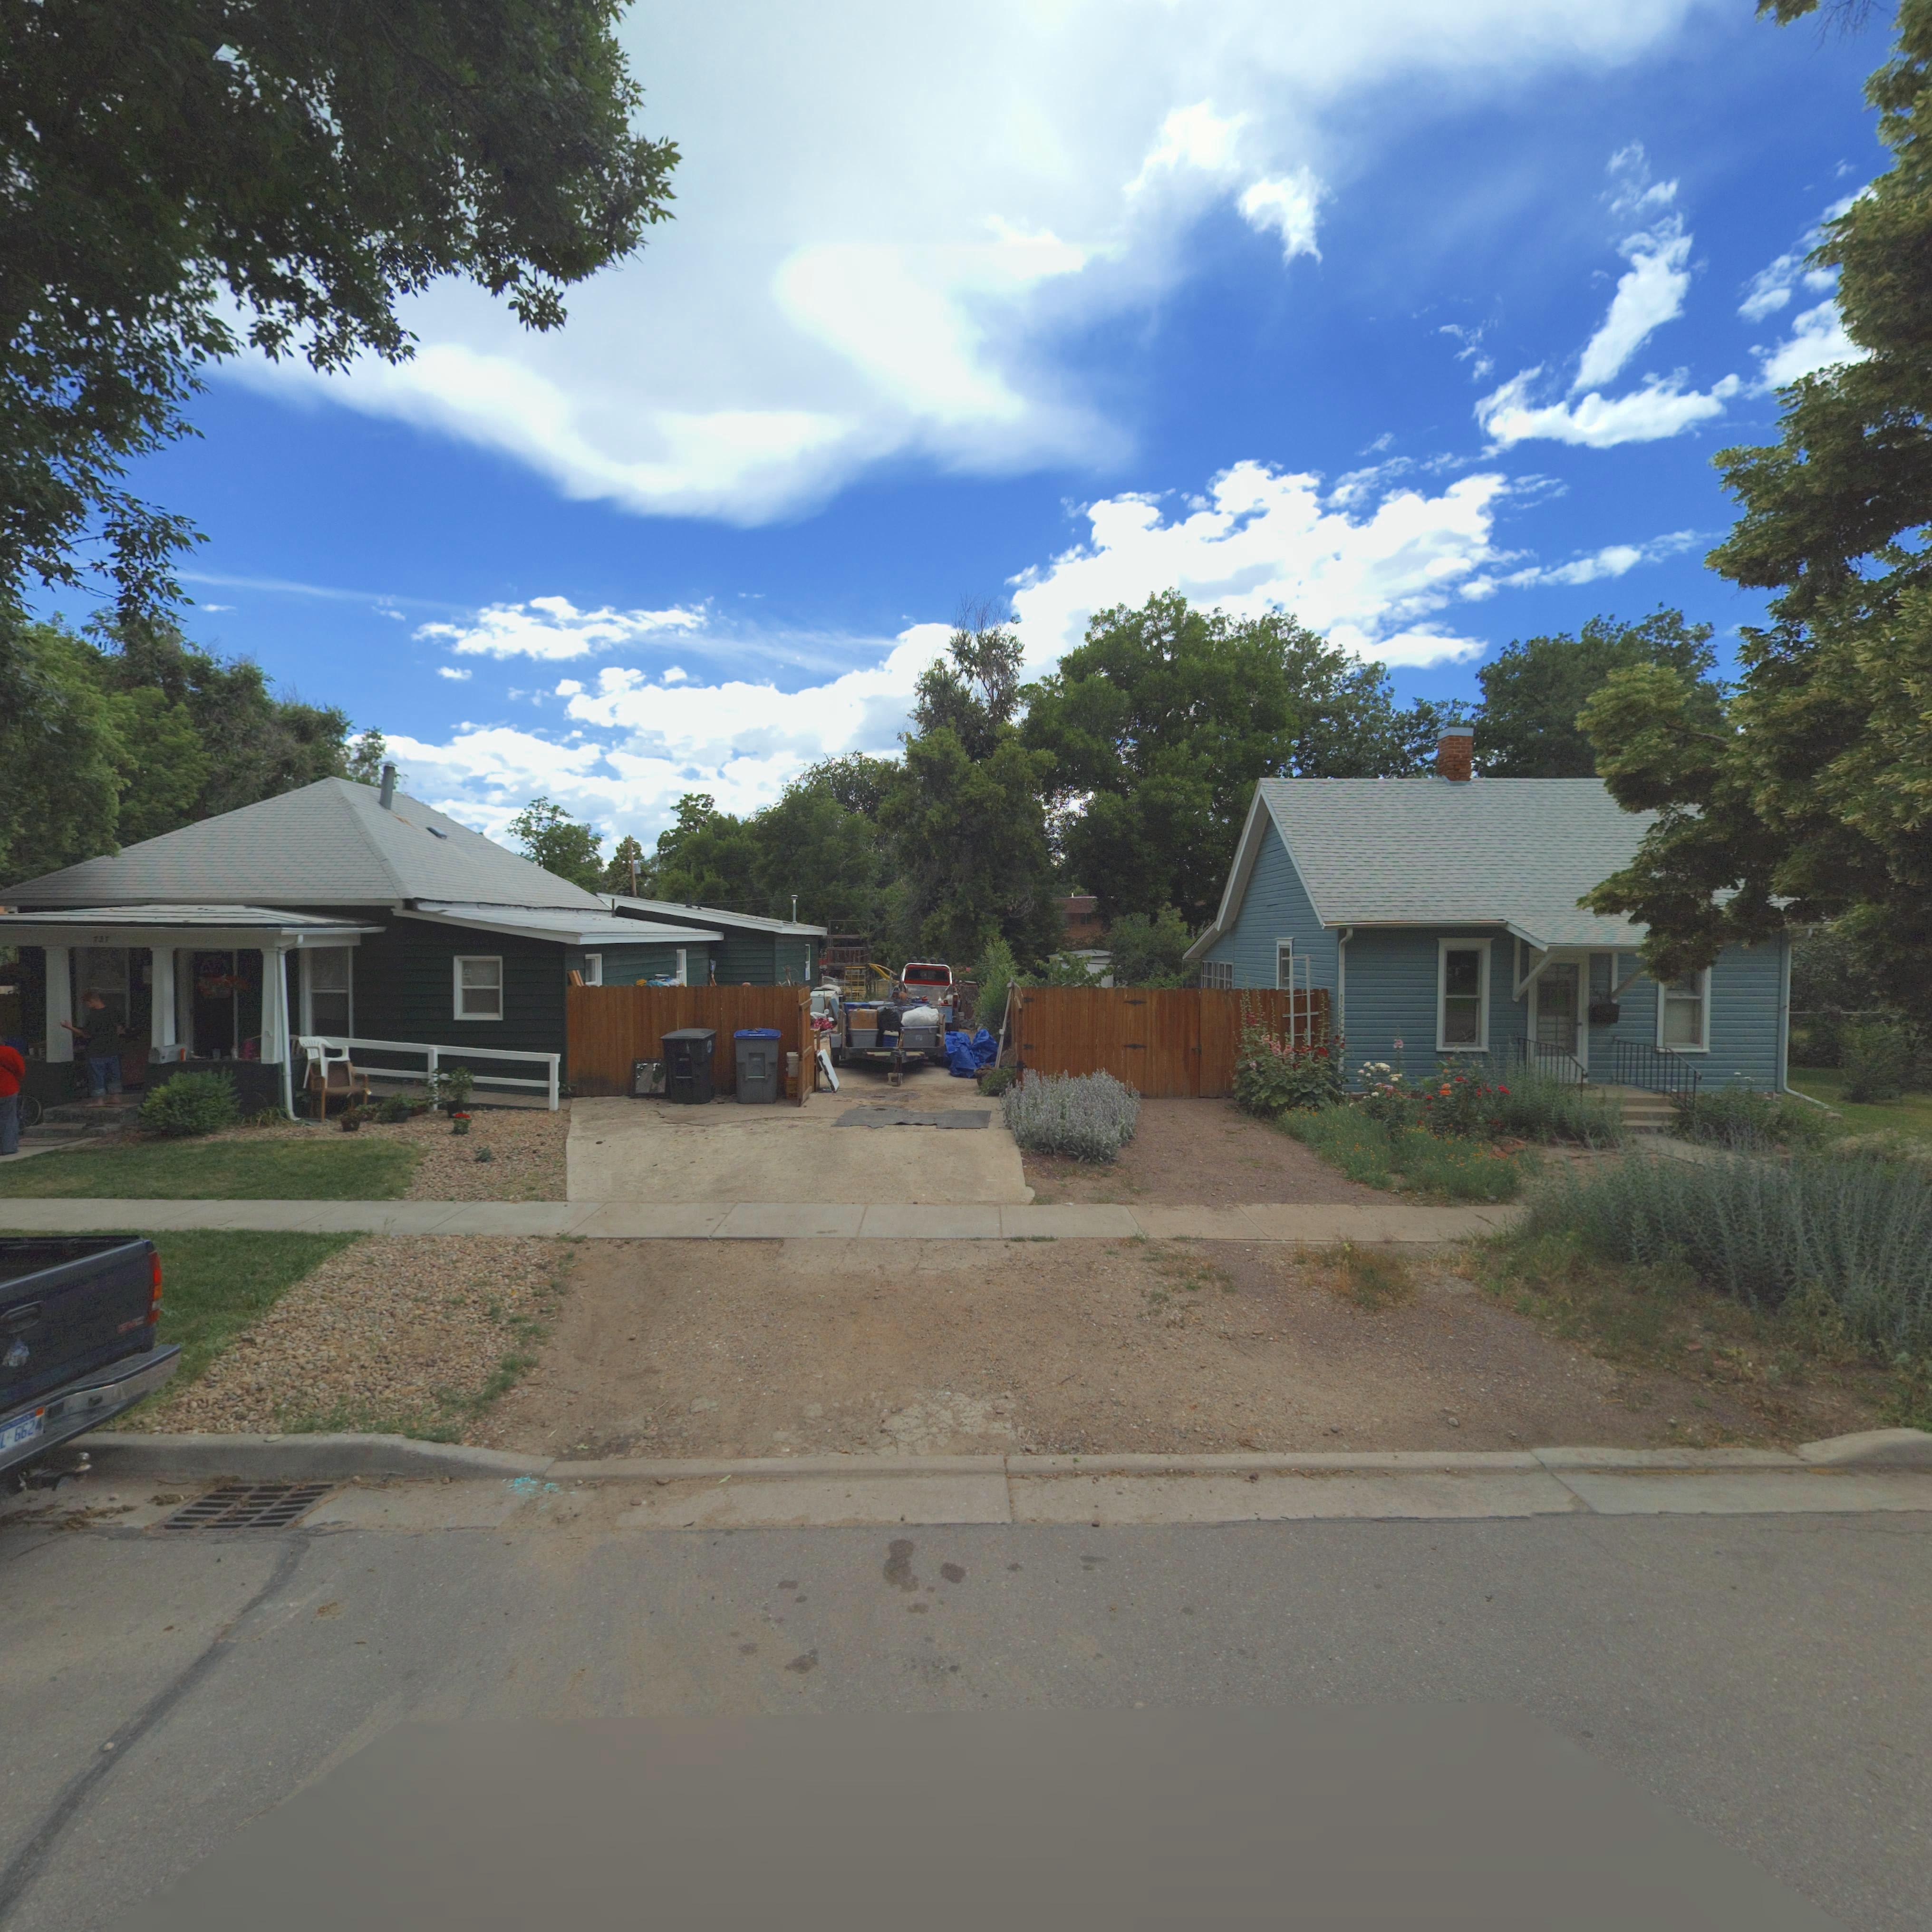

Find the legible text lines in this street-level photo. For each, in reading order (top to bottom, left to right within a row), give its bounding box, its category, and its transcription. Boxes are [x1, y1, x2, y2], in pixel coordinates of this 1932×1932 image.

[92, 934, 110, 943] StreetNumber: 73*